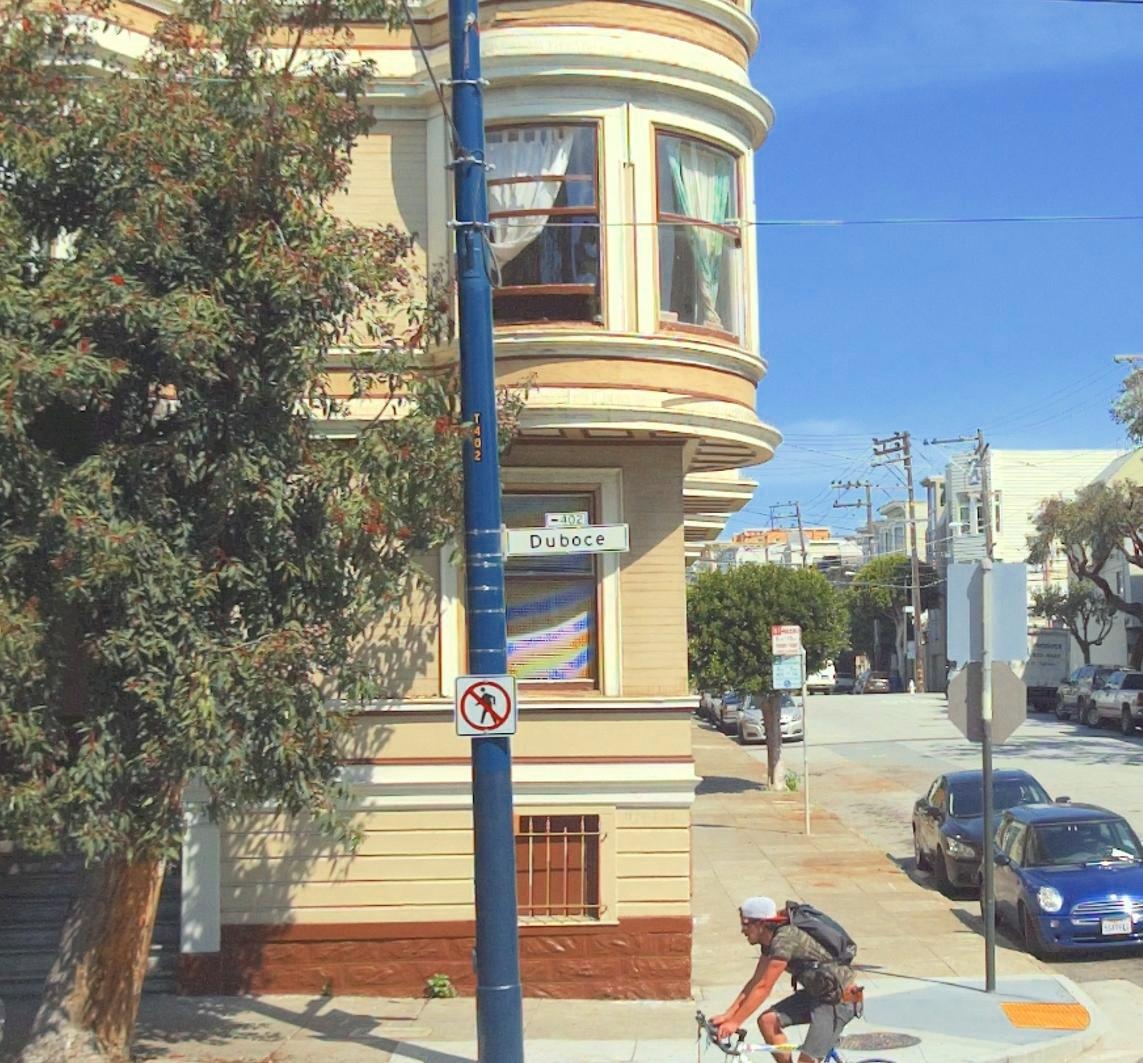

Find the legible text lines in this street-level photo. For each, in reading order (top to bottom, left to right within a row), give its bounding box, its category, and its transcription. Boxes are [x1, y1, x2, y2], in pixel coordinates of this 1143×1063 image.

[470, 410, 482, 460] None: T402
[546, 513, 586, 526] StreetNumberRange: <-402
[527, 532, 606, 550] StreetName: Duboce